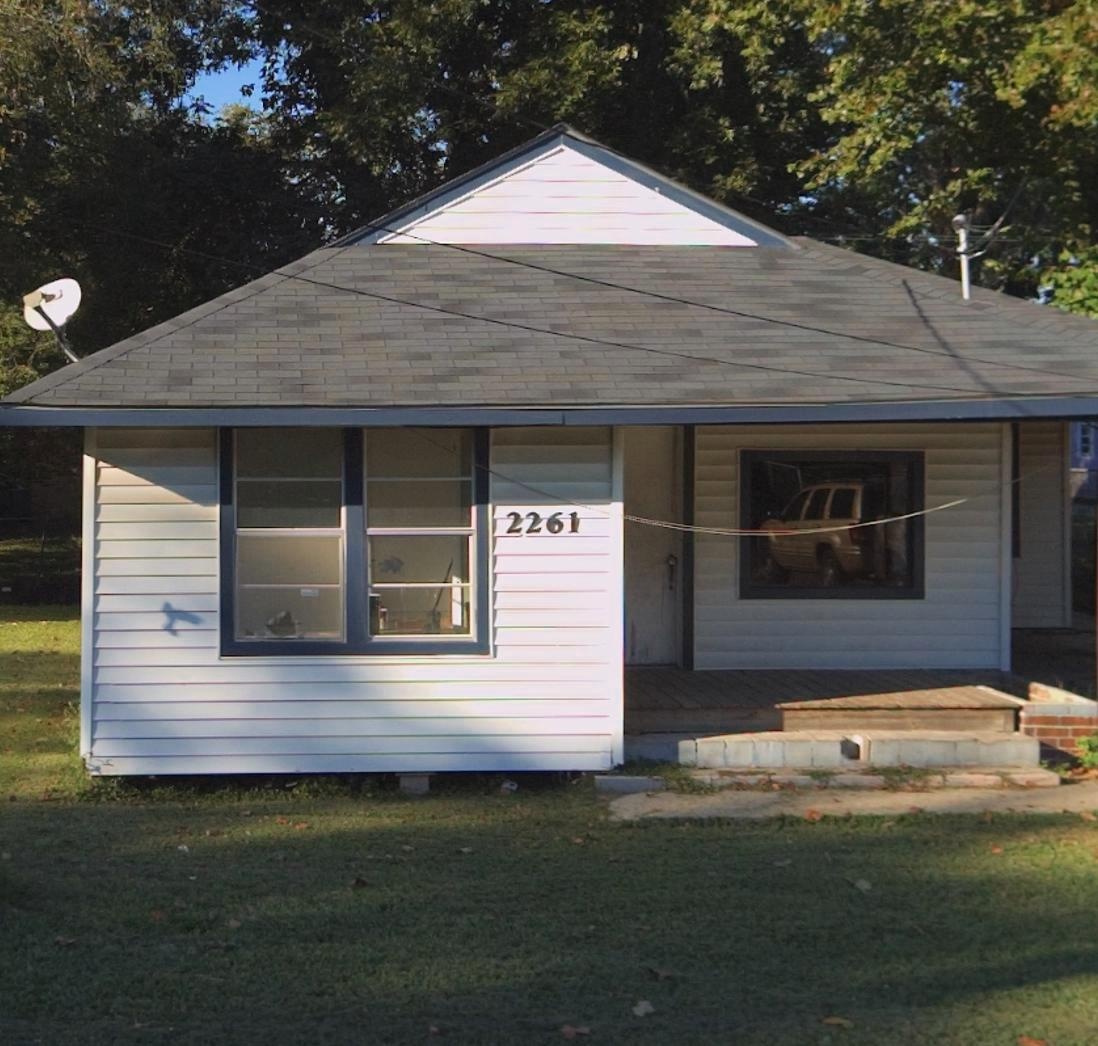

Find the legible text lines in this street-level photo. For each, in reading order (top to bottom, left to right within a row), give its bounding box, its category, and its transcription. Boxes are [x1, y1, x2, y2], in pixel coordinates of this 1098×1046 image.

[505, 510, 580, 535] StreetNumber: 2261